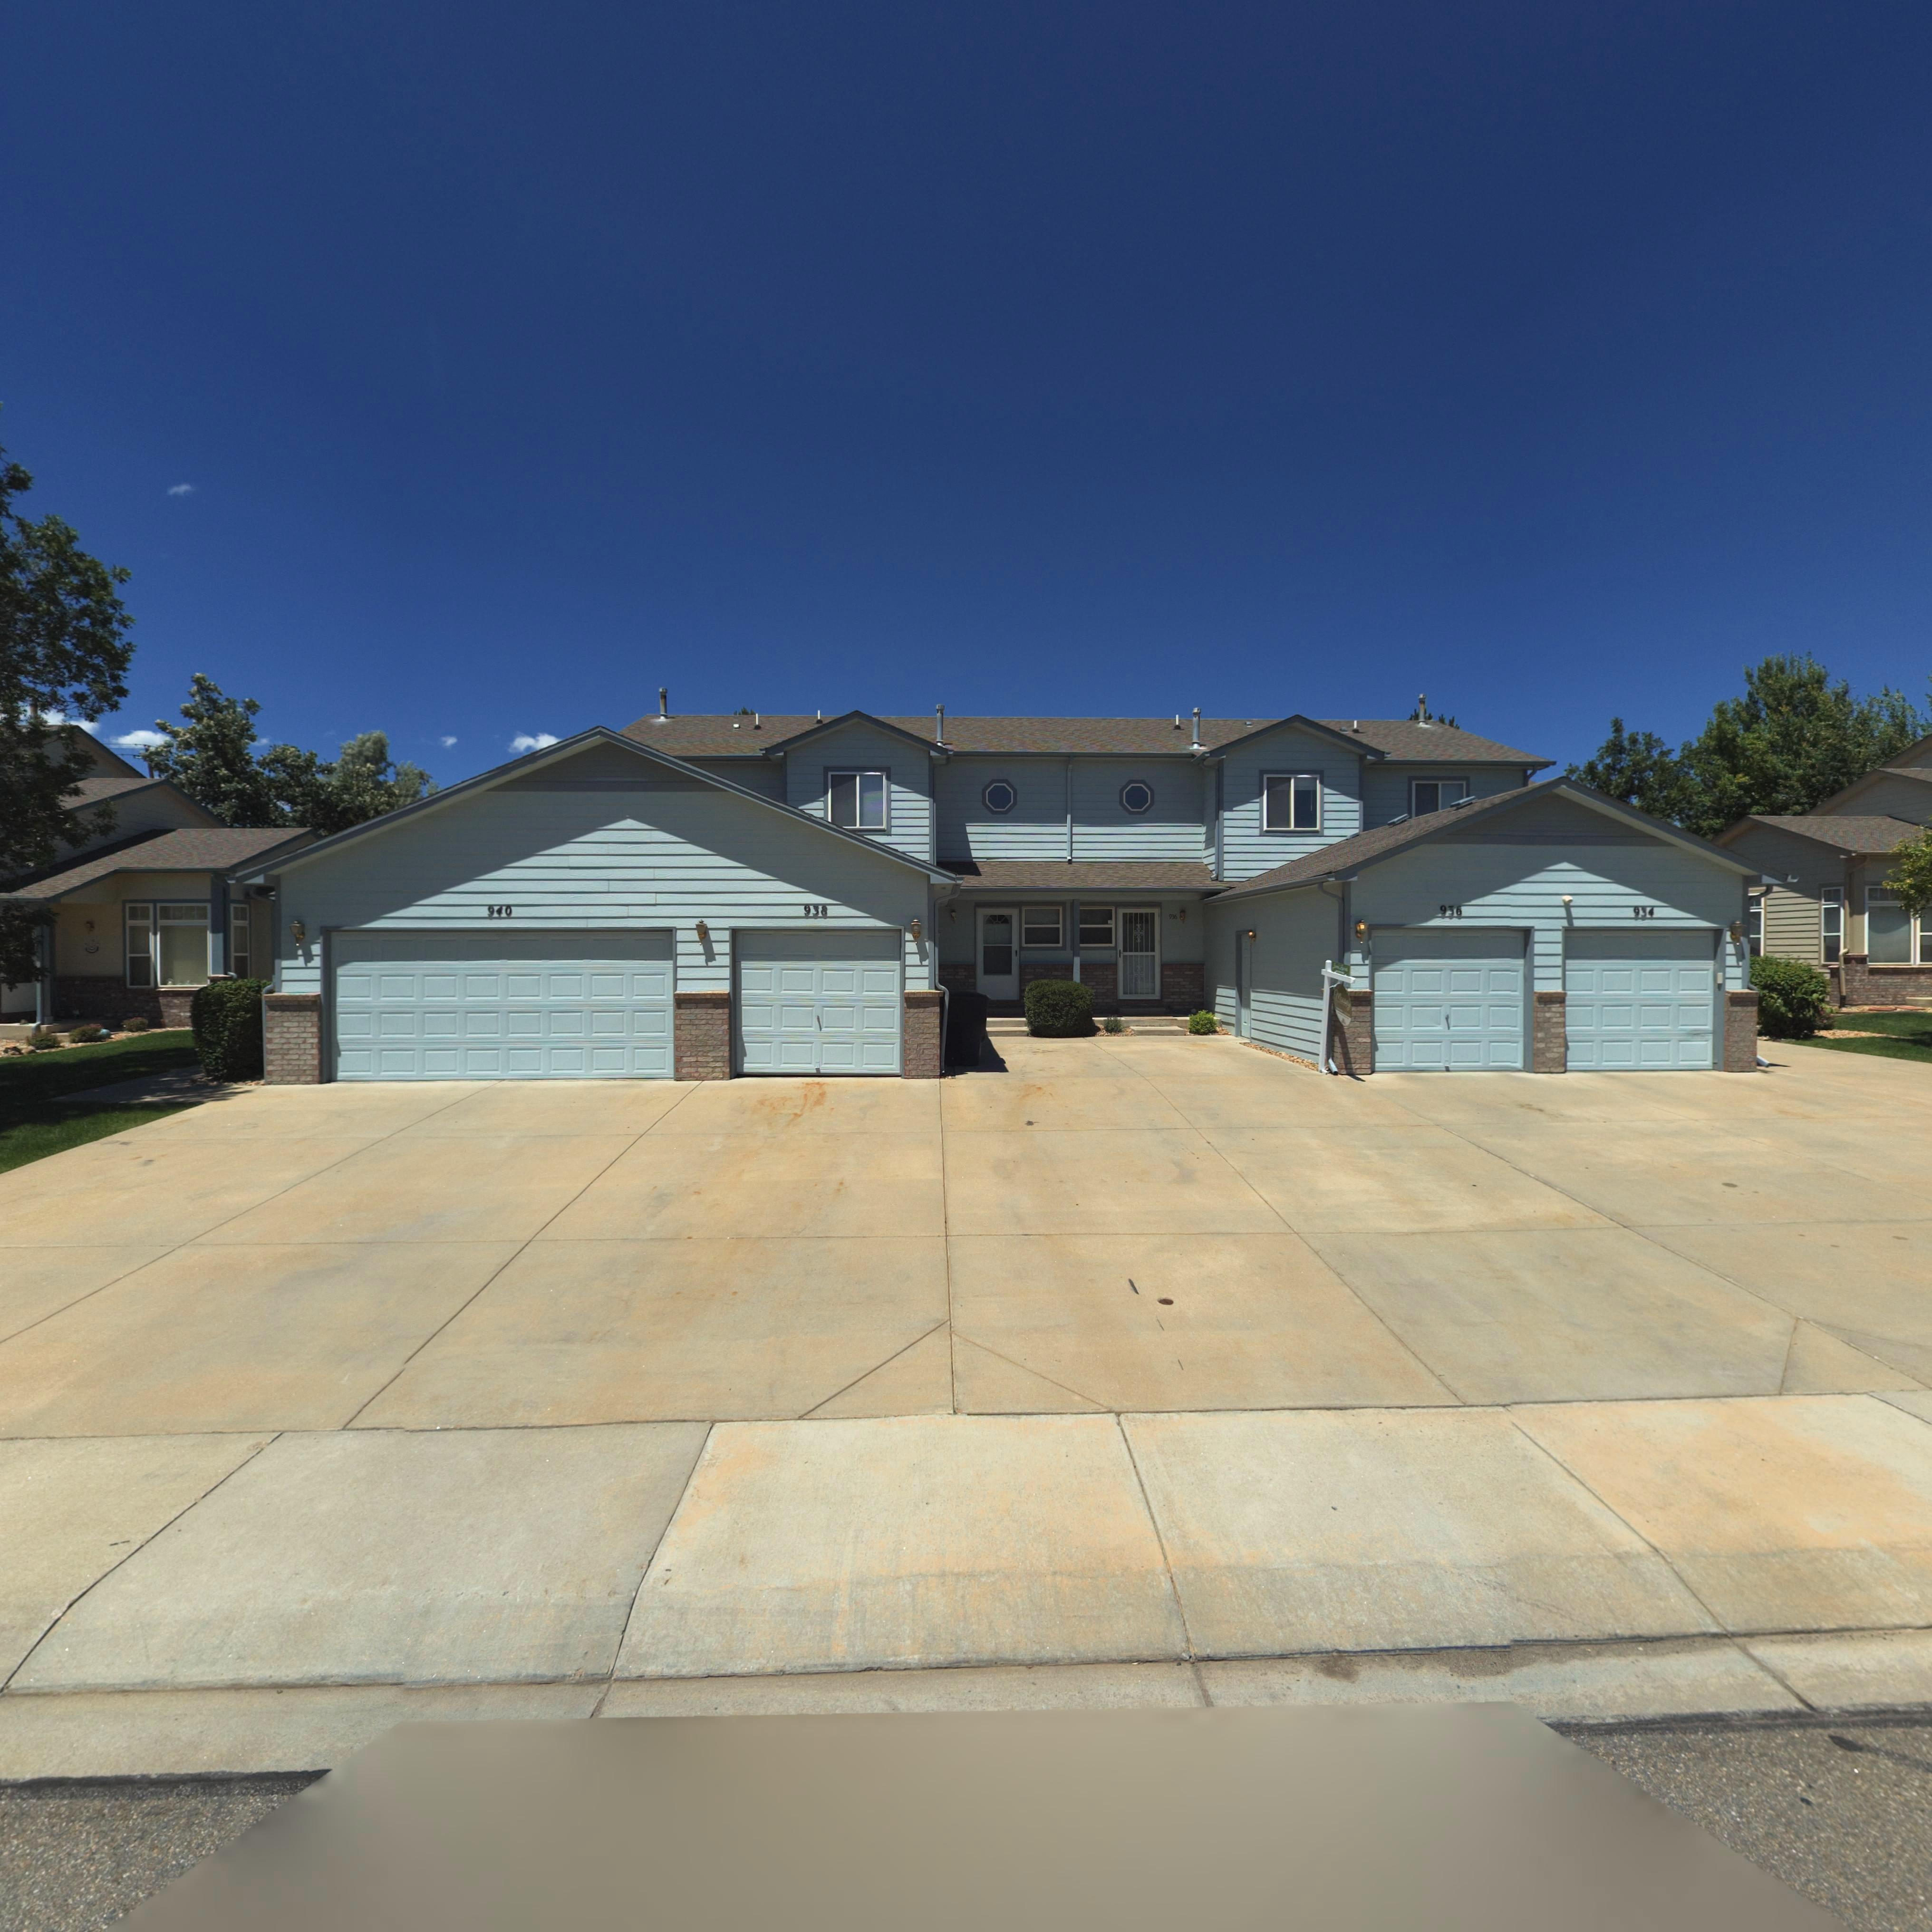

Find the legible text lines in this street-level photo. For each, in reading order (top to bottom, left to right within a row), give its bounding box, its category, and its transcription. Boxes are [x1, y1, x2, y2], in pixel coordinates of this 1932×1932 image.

[487, 904, 512, 916] StreetNumber: 940
[803, 904, 828, 915] StreetNumber: 938
[1168, 913, 1178, 919] StreetNumber: 936
[1439, 904, 1462, 916] StreetNumber: 936
[1633, 906, 1654, 917] StreetNumber: 934